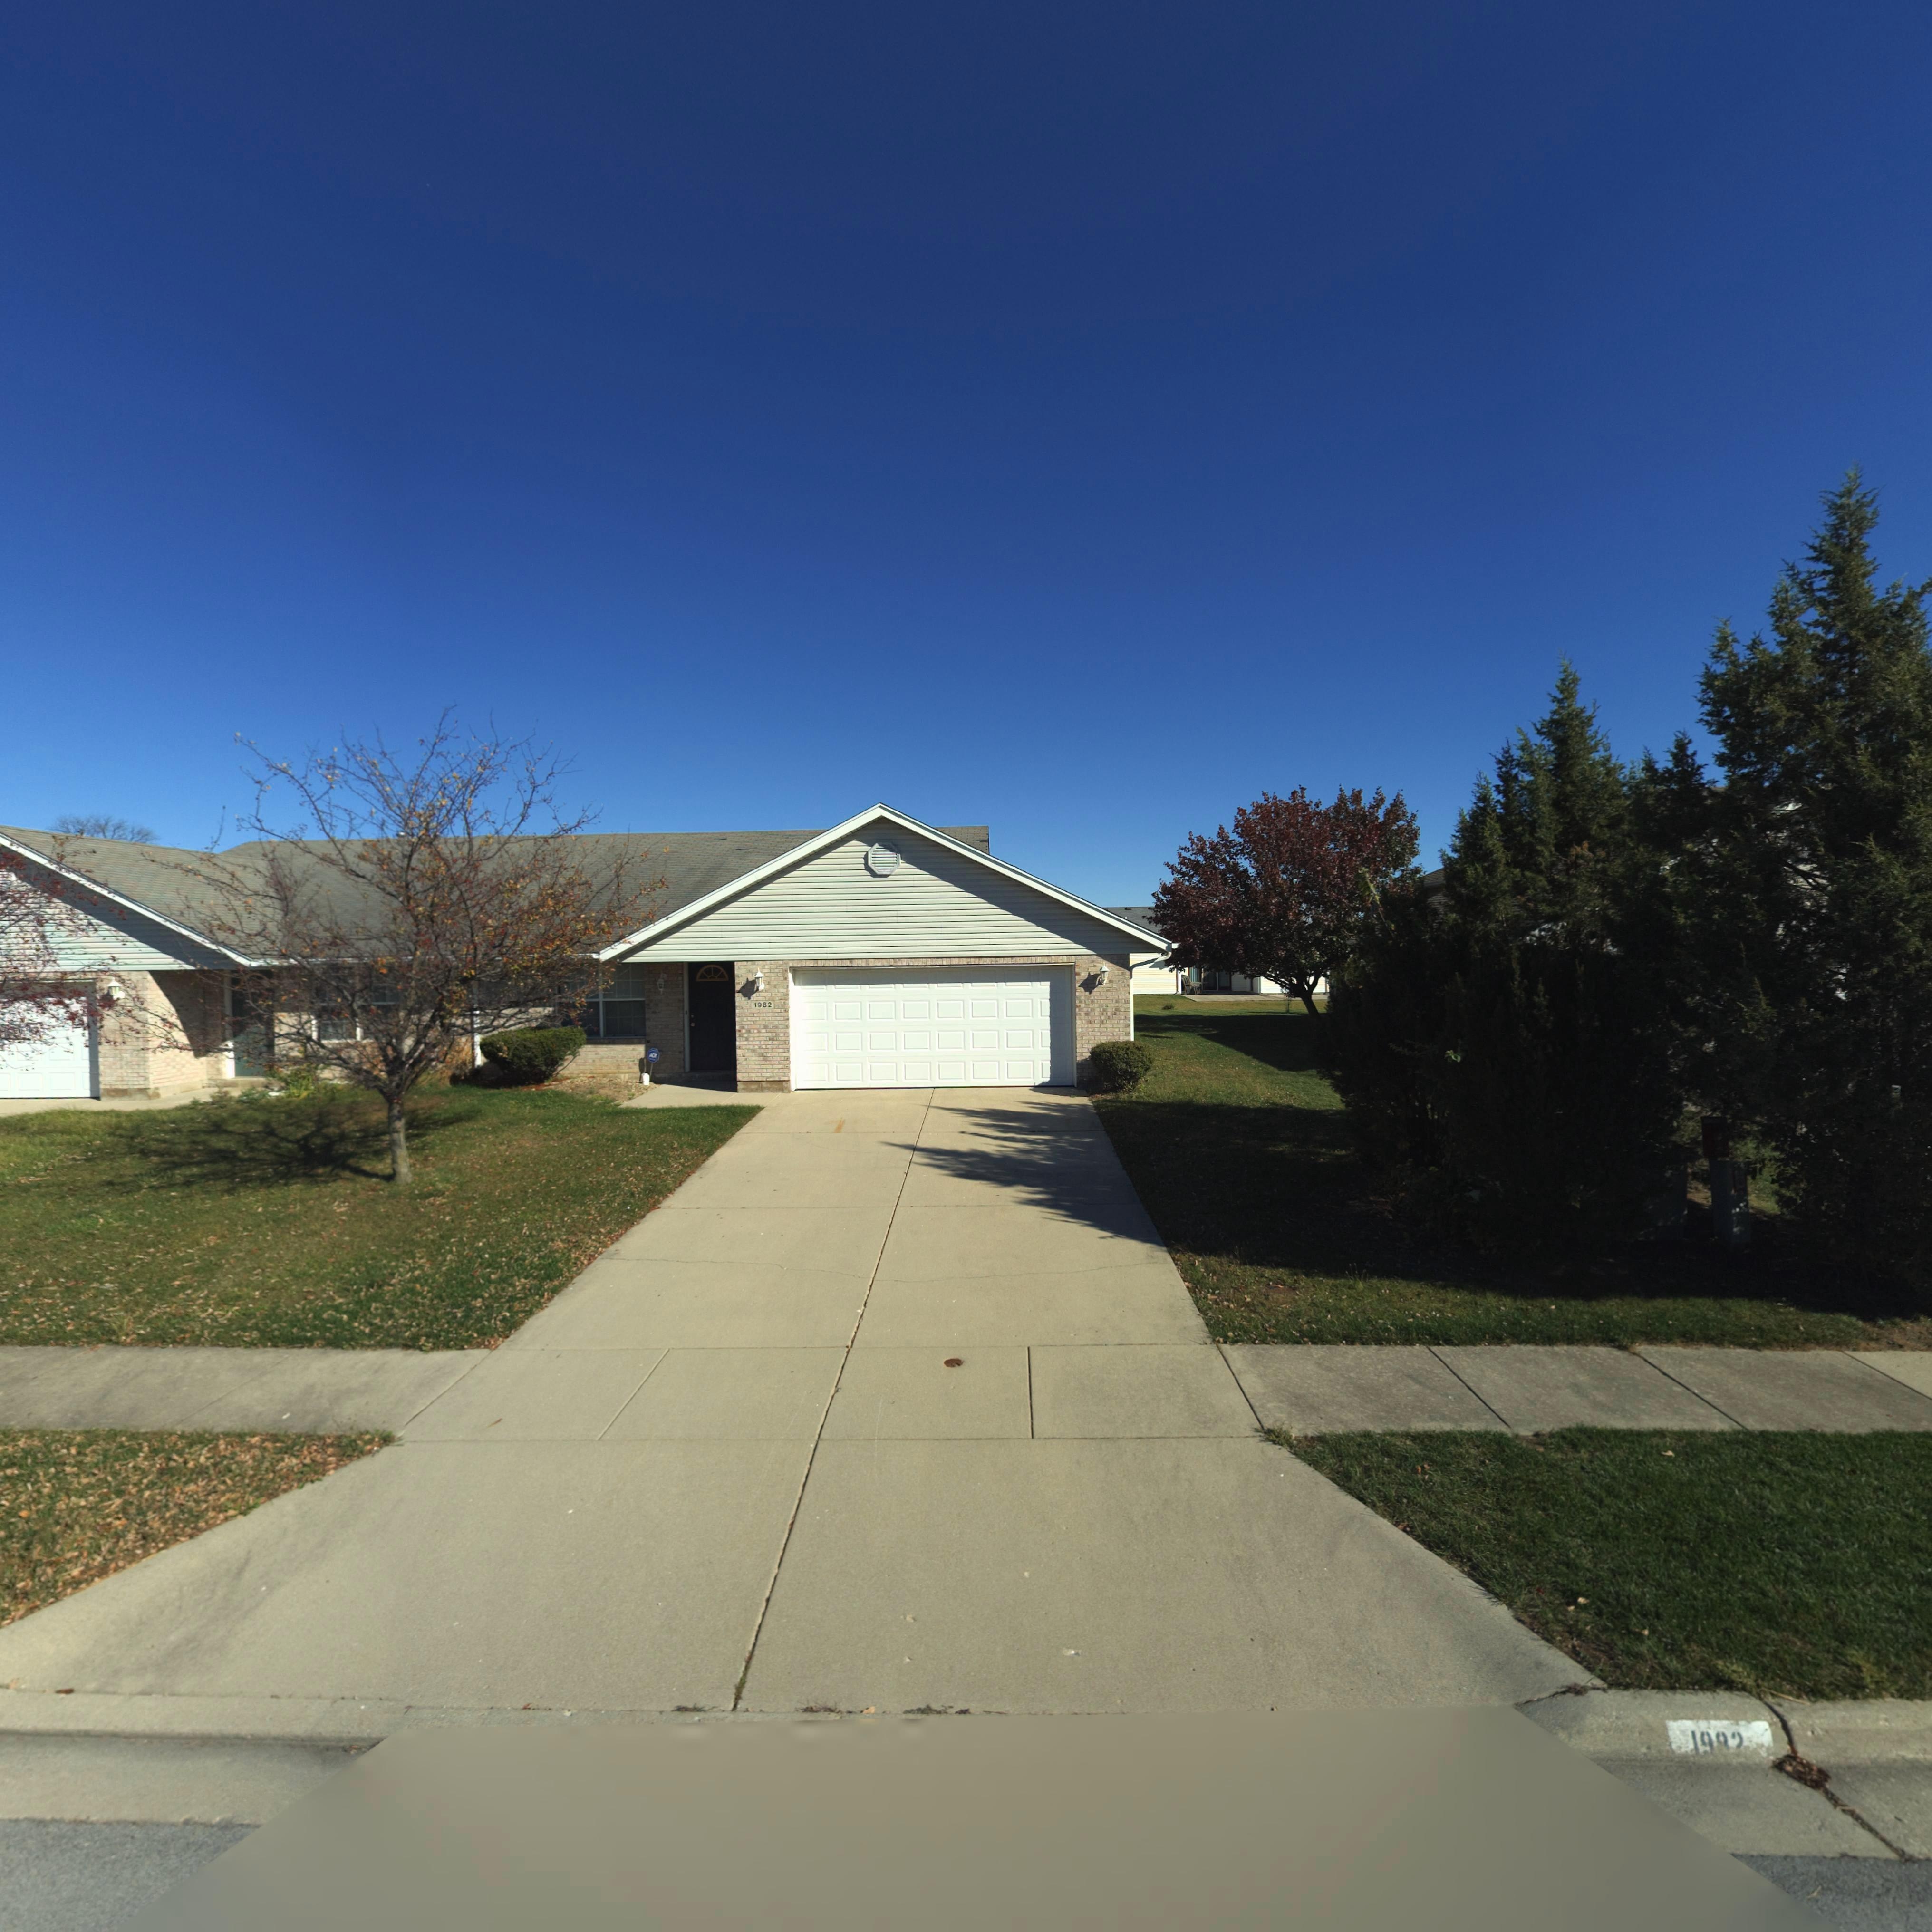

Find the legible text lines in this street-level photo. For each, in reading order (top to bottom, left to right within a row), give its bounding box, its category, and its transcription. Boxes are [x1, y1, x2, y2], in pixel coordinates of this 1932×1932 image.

[753, 1001, 773, 1009] StreetNumber: 1982
[1688, 1729, 1748, 1758] StreetNumber: 19**